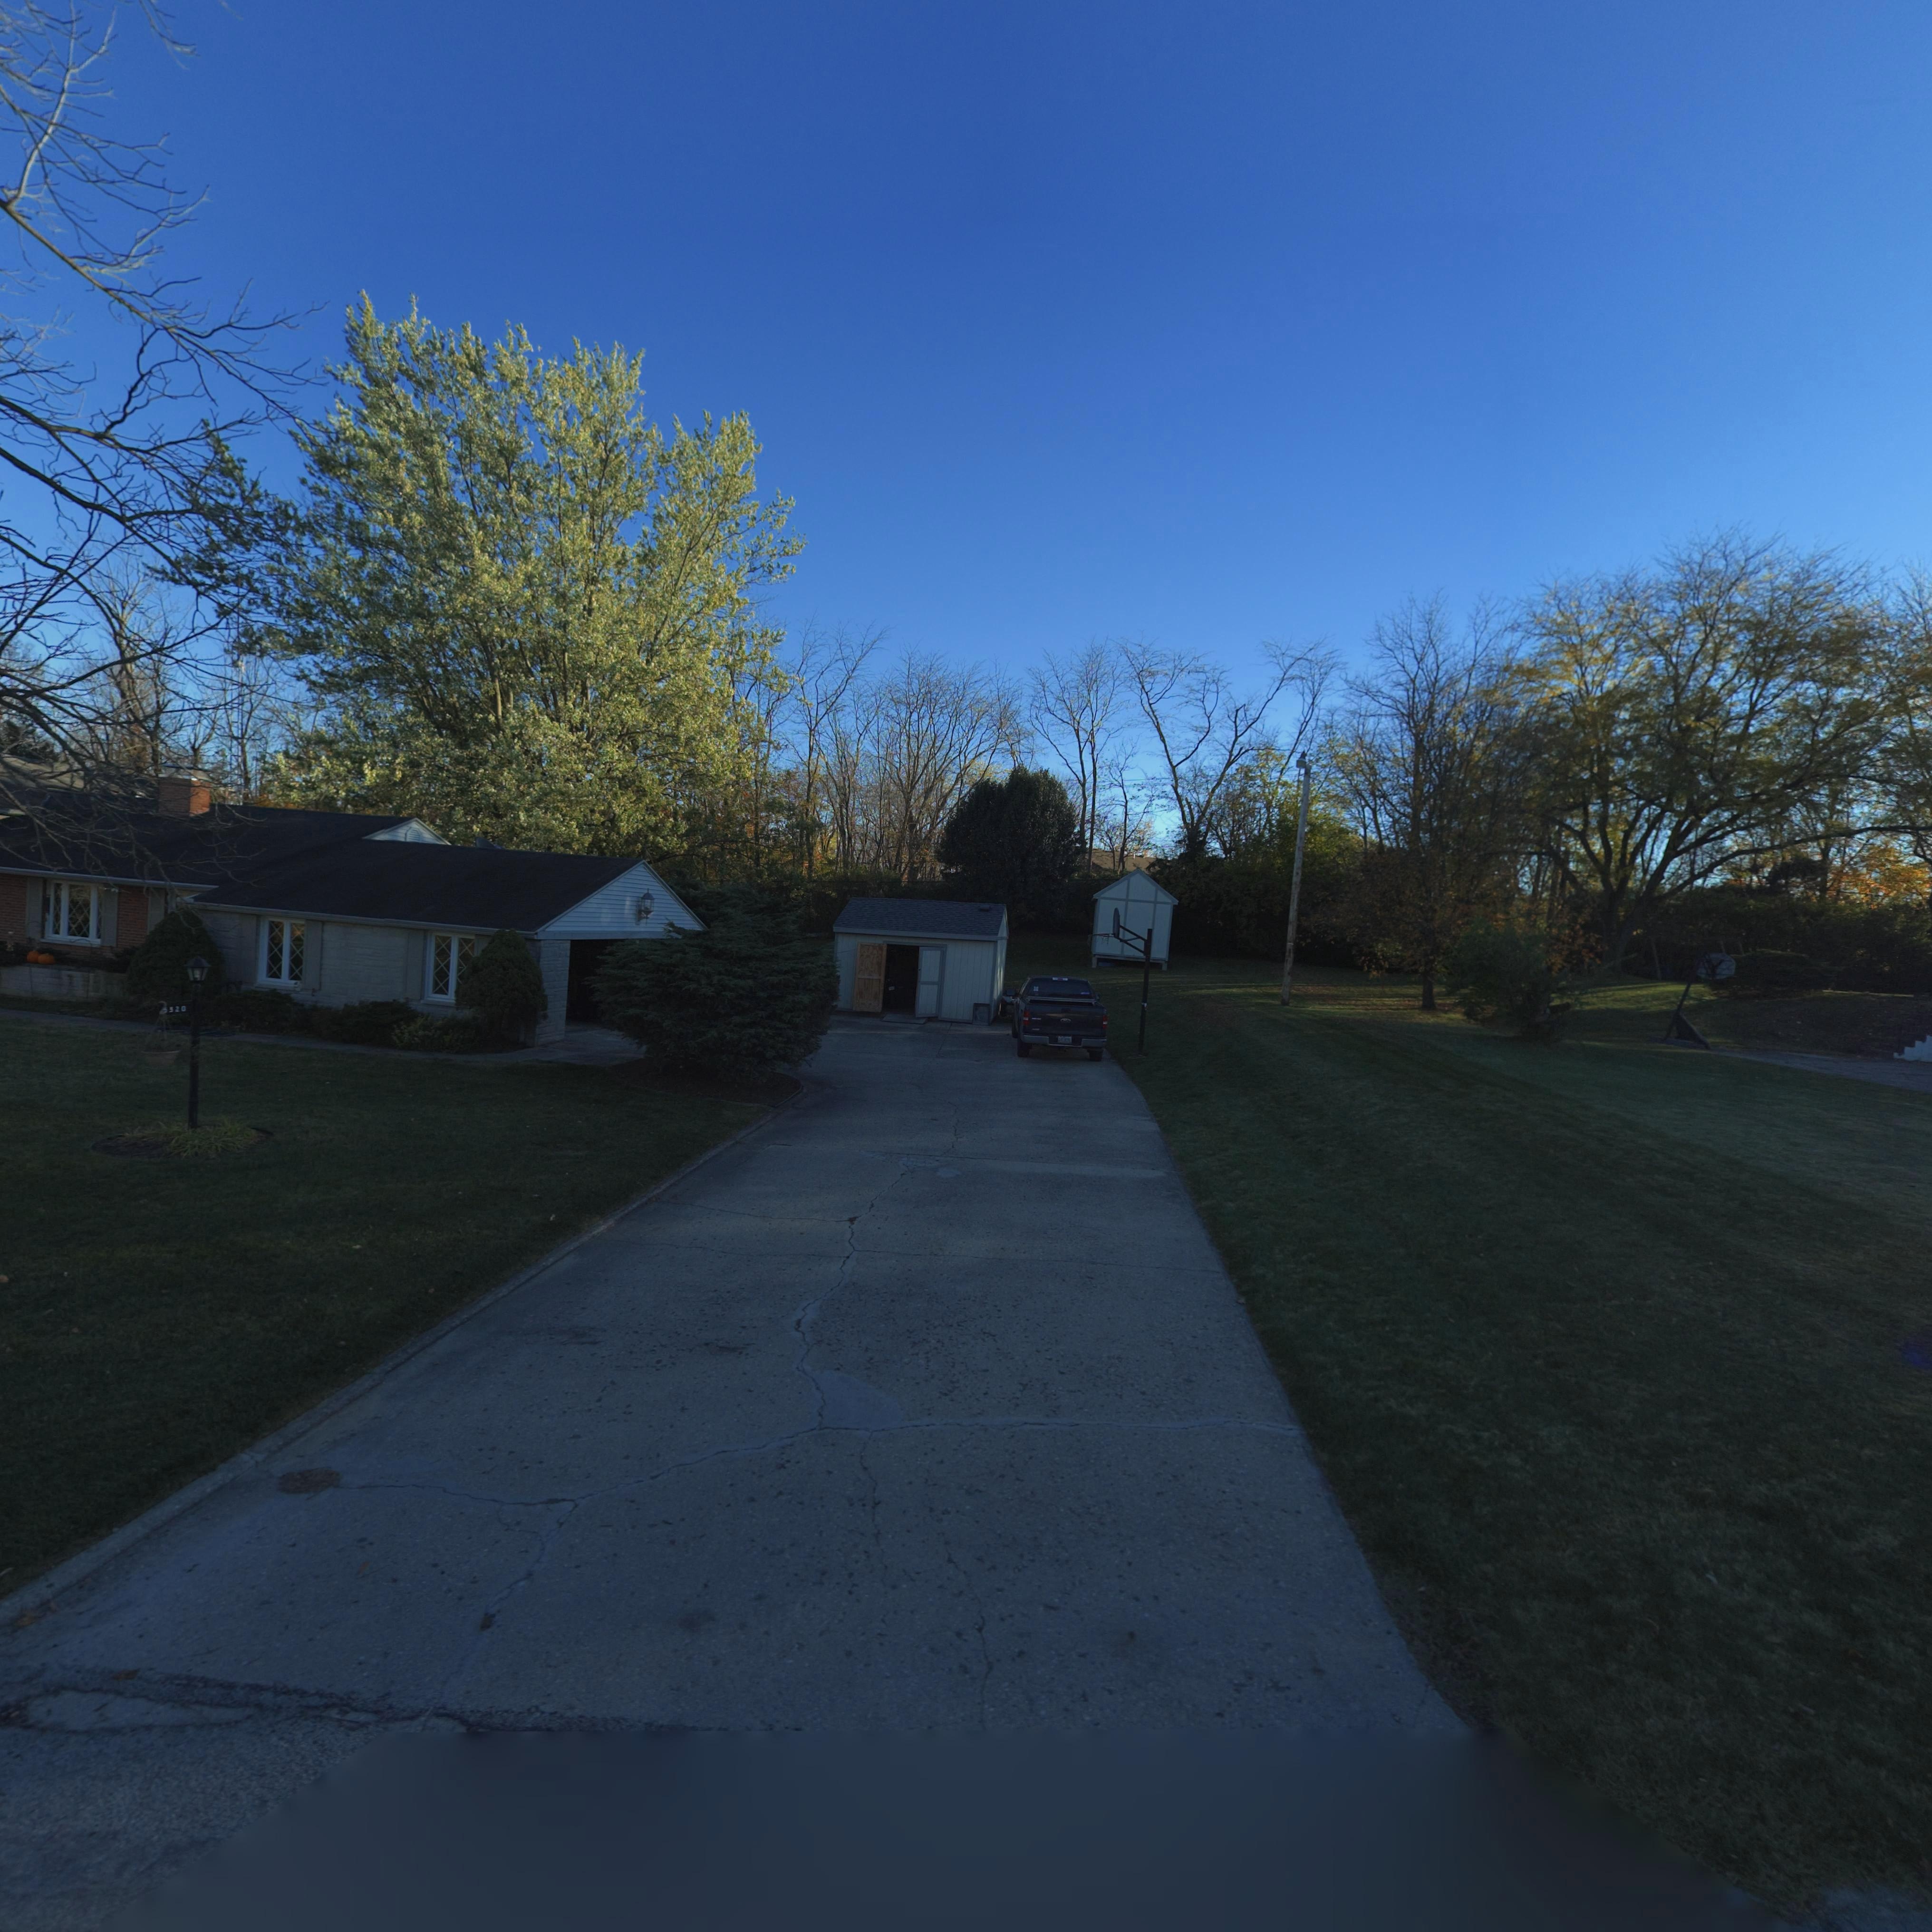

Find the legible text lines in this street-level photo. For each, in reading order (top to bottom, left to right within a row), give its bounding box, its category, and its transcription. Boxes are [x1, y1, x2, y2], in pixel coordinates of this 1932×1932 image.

[162, 1005, 188, 1014] StreetNumber: *320